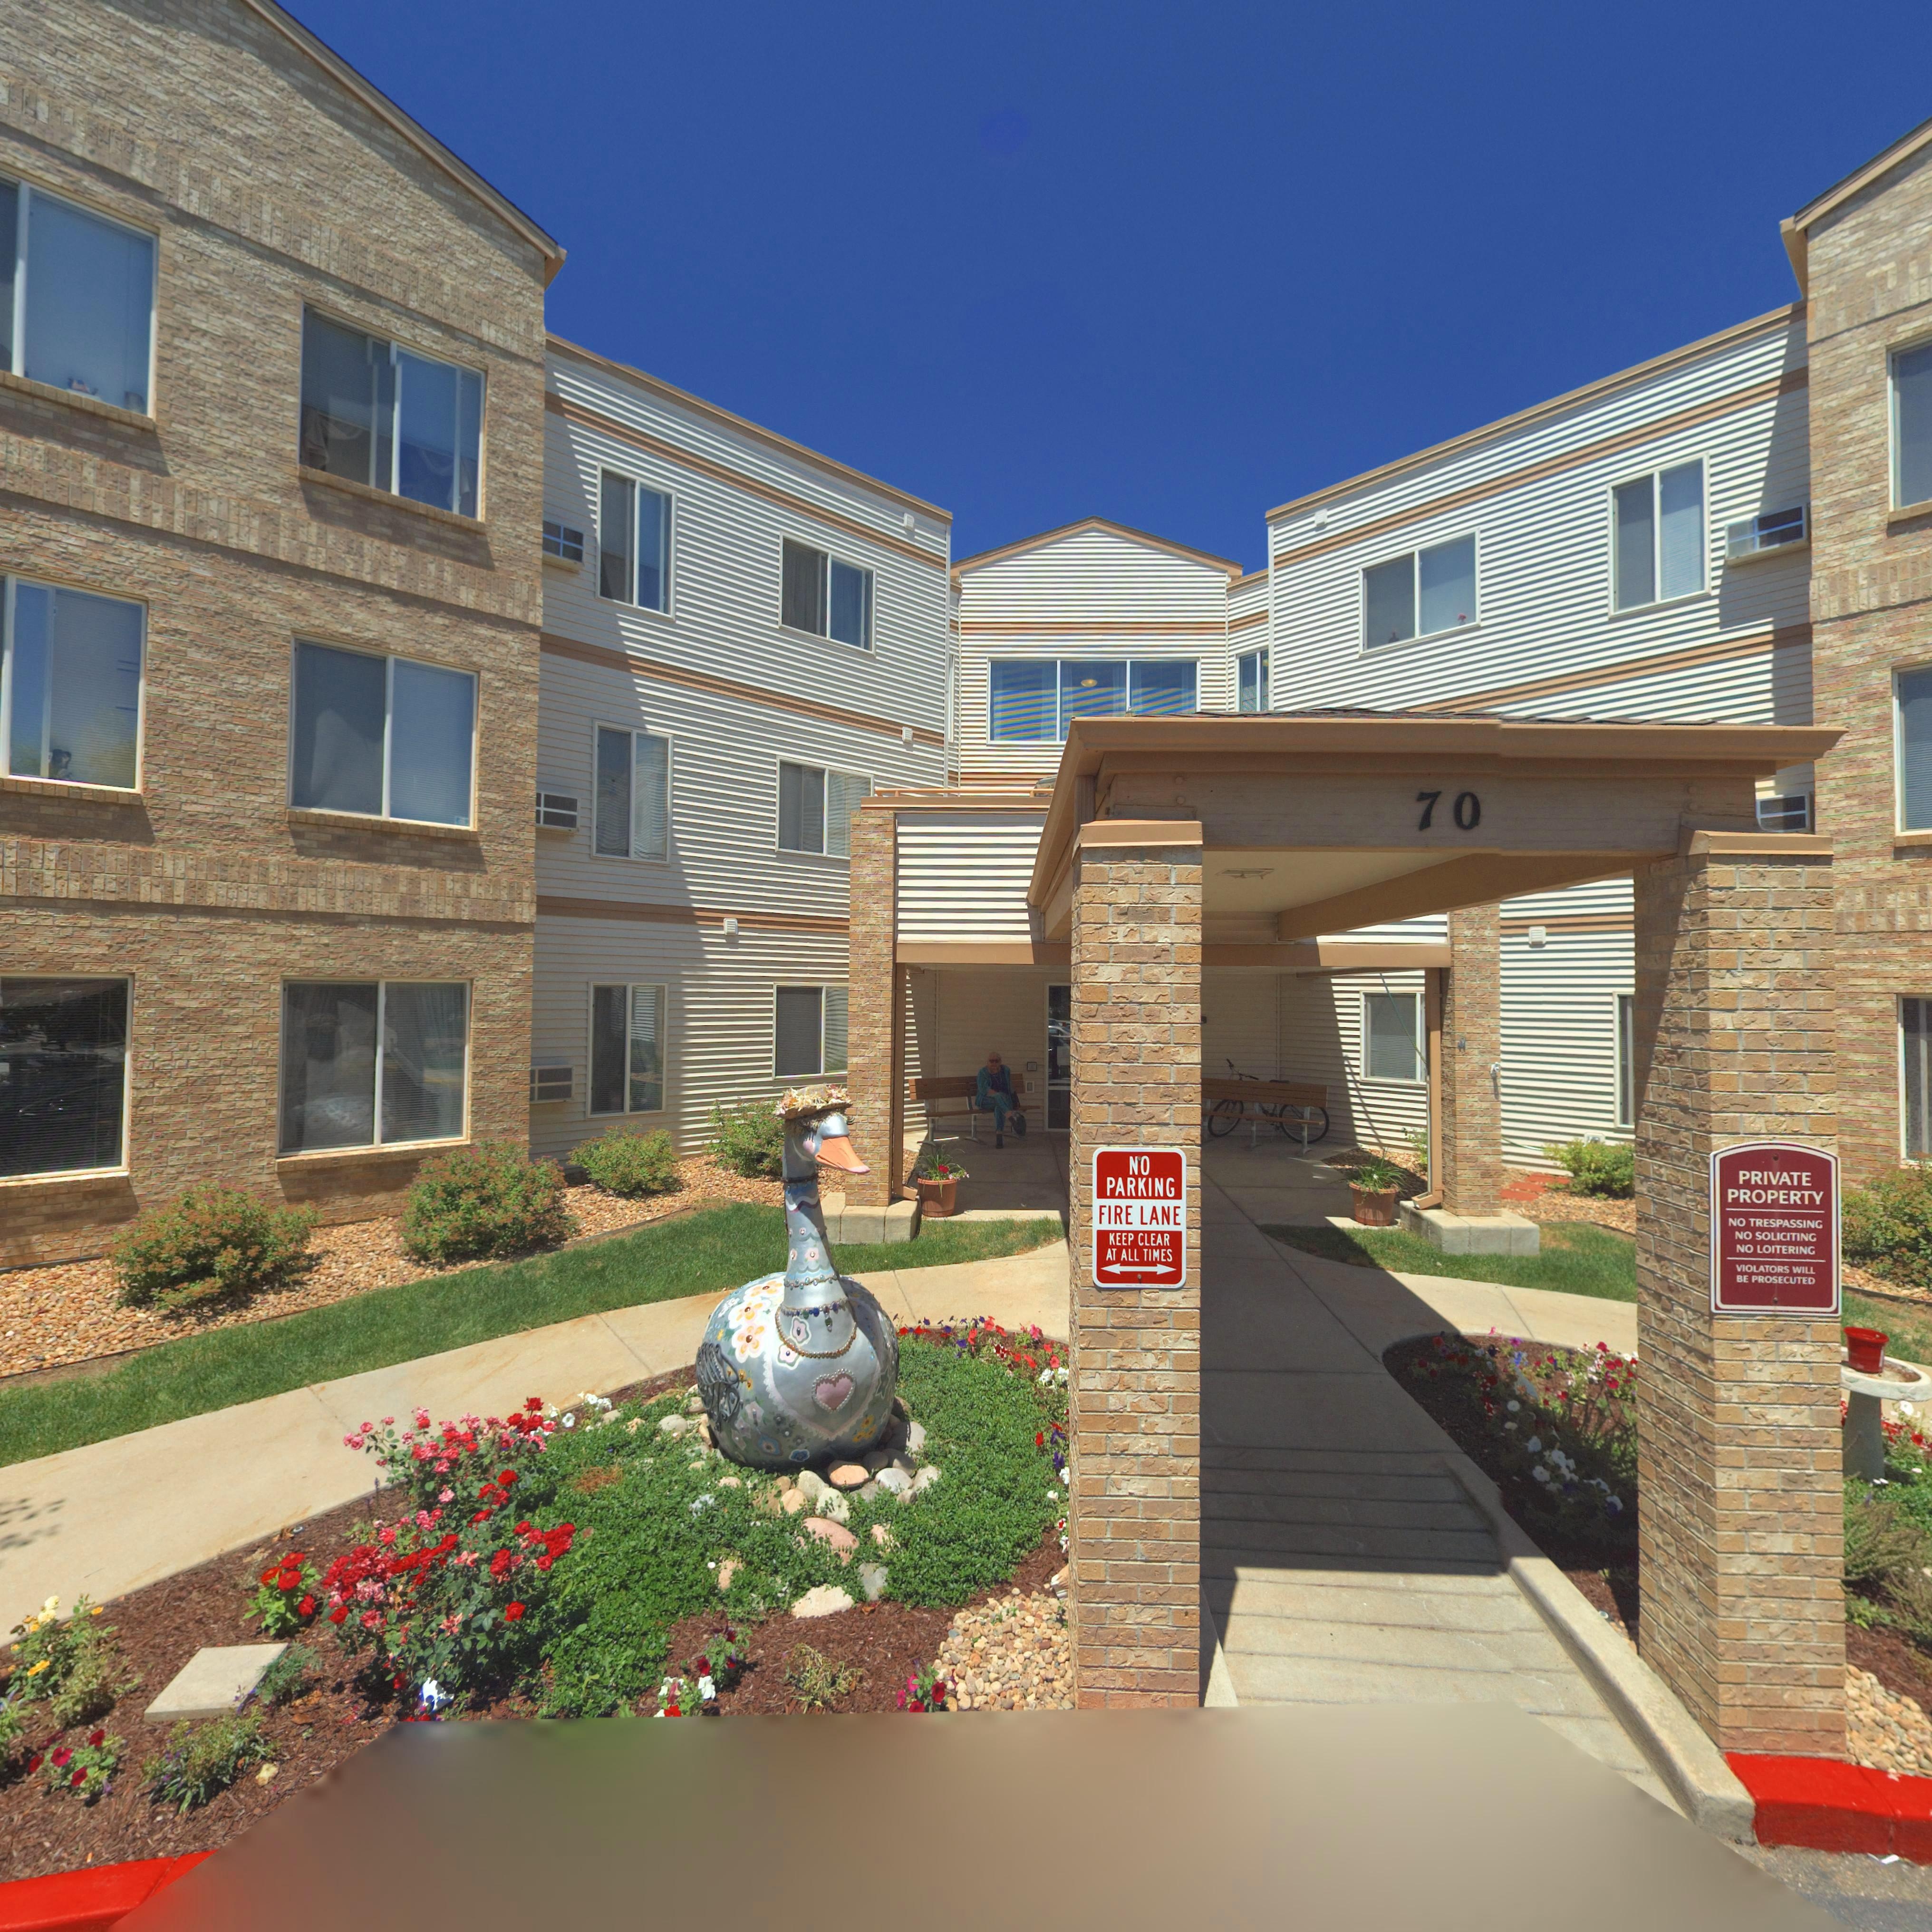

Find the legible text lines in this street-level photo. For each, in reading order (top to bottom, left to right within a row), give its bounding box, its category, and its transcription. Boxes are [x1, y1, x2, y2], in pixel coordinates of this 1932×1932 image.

[1414, 788, 1482, 832] StreetNumber: 70